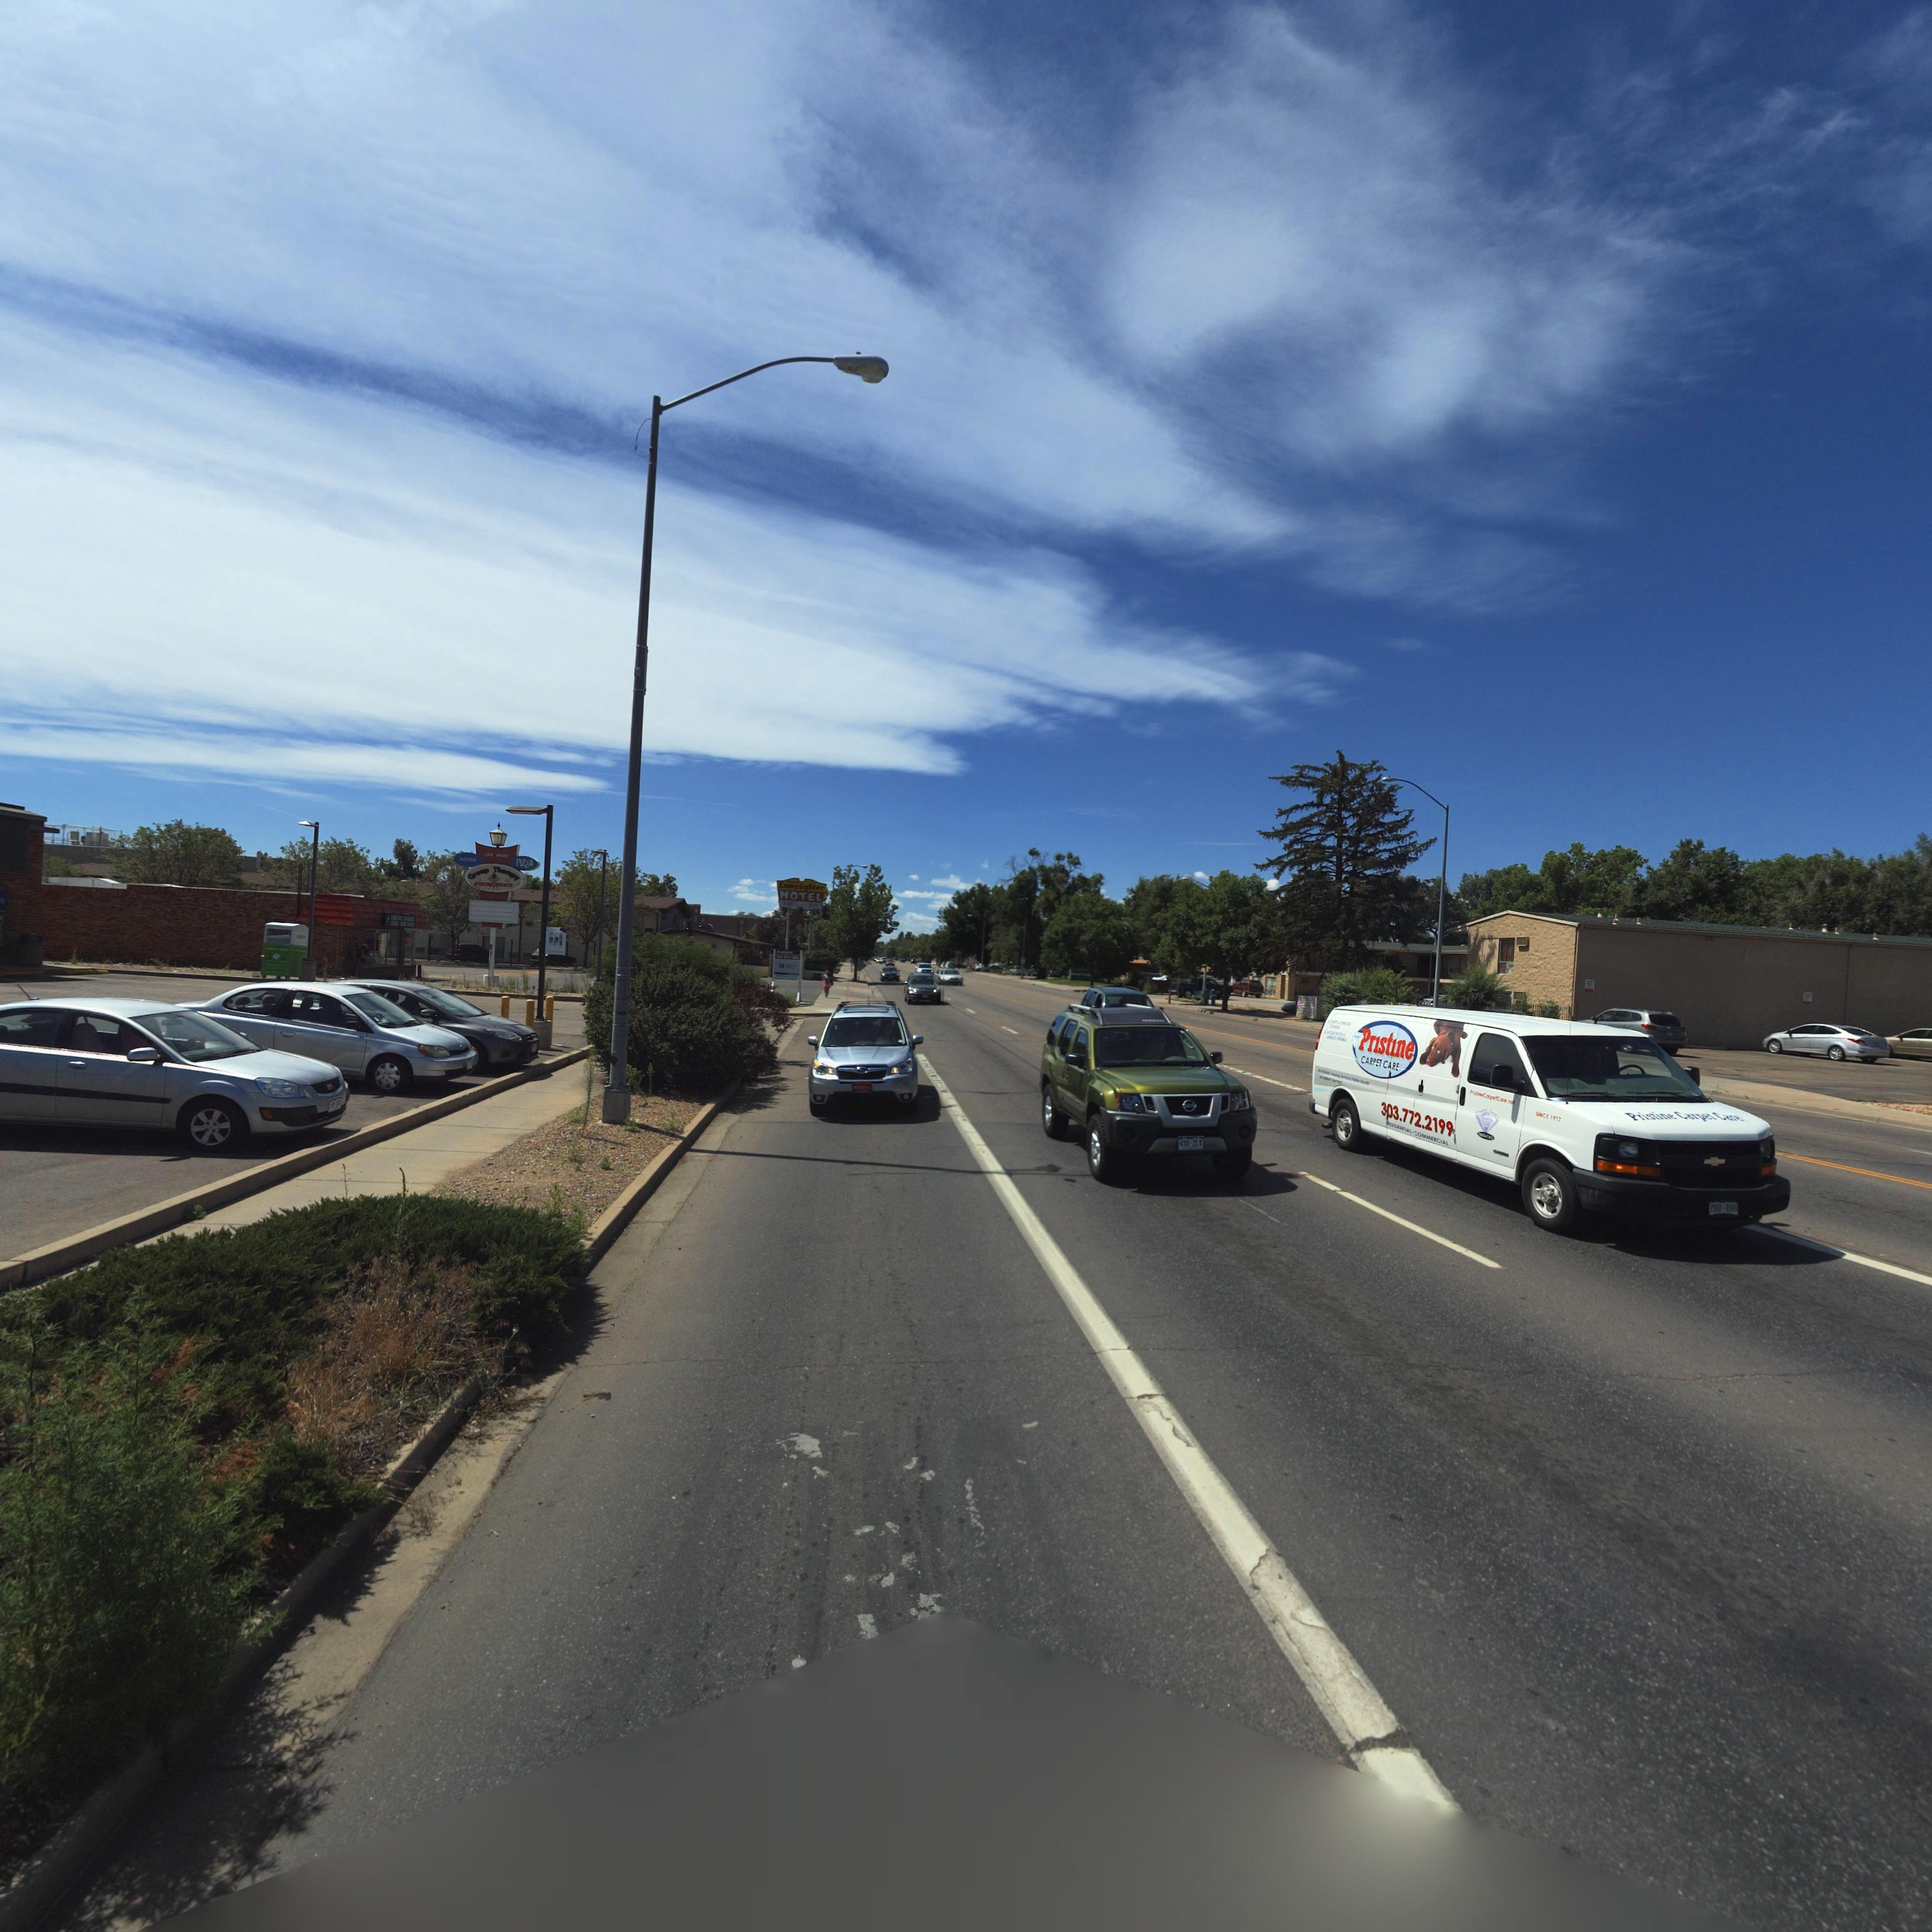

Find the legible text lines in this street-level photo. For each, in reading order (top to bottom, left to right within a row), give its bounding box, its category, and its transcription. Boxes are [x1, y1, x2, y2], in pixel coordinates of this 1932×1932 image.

[467, 866, 521, 881] BusinessName: Group Ther*py
[778, 880, 824, 892] BusinessName: Lamplighter
[779, 889, 823, 901] BusinessName: MOTEL